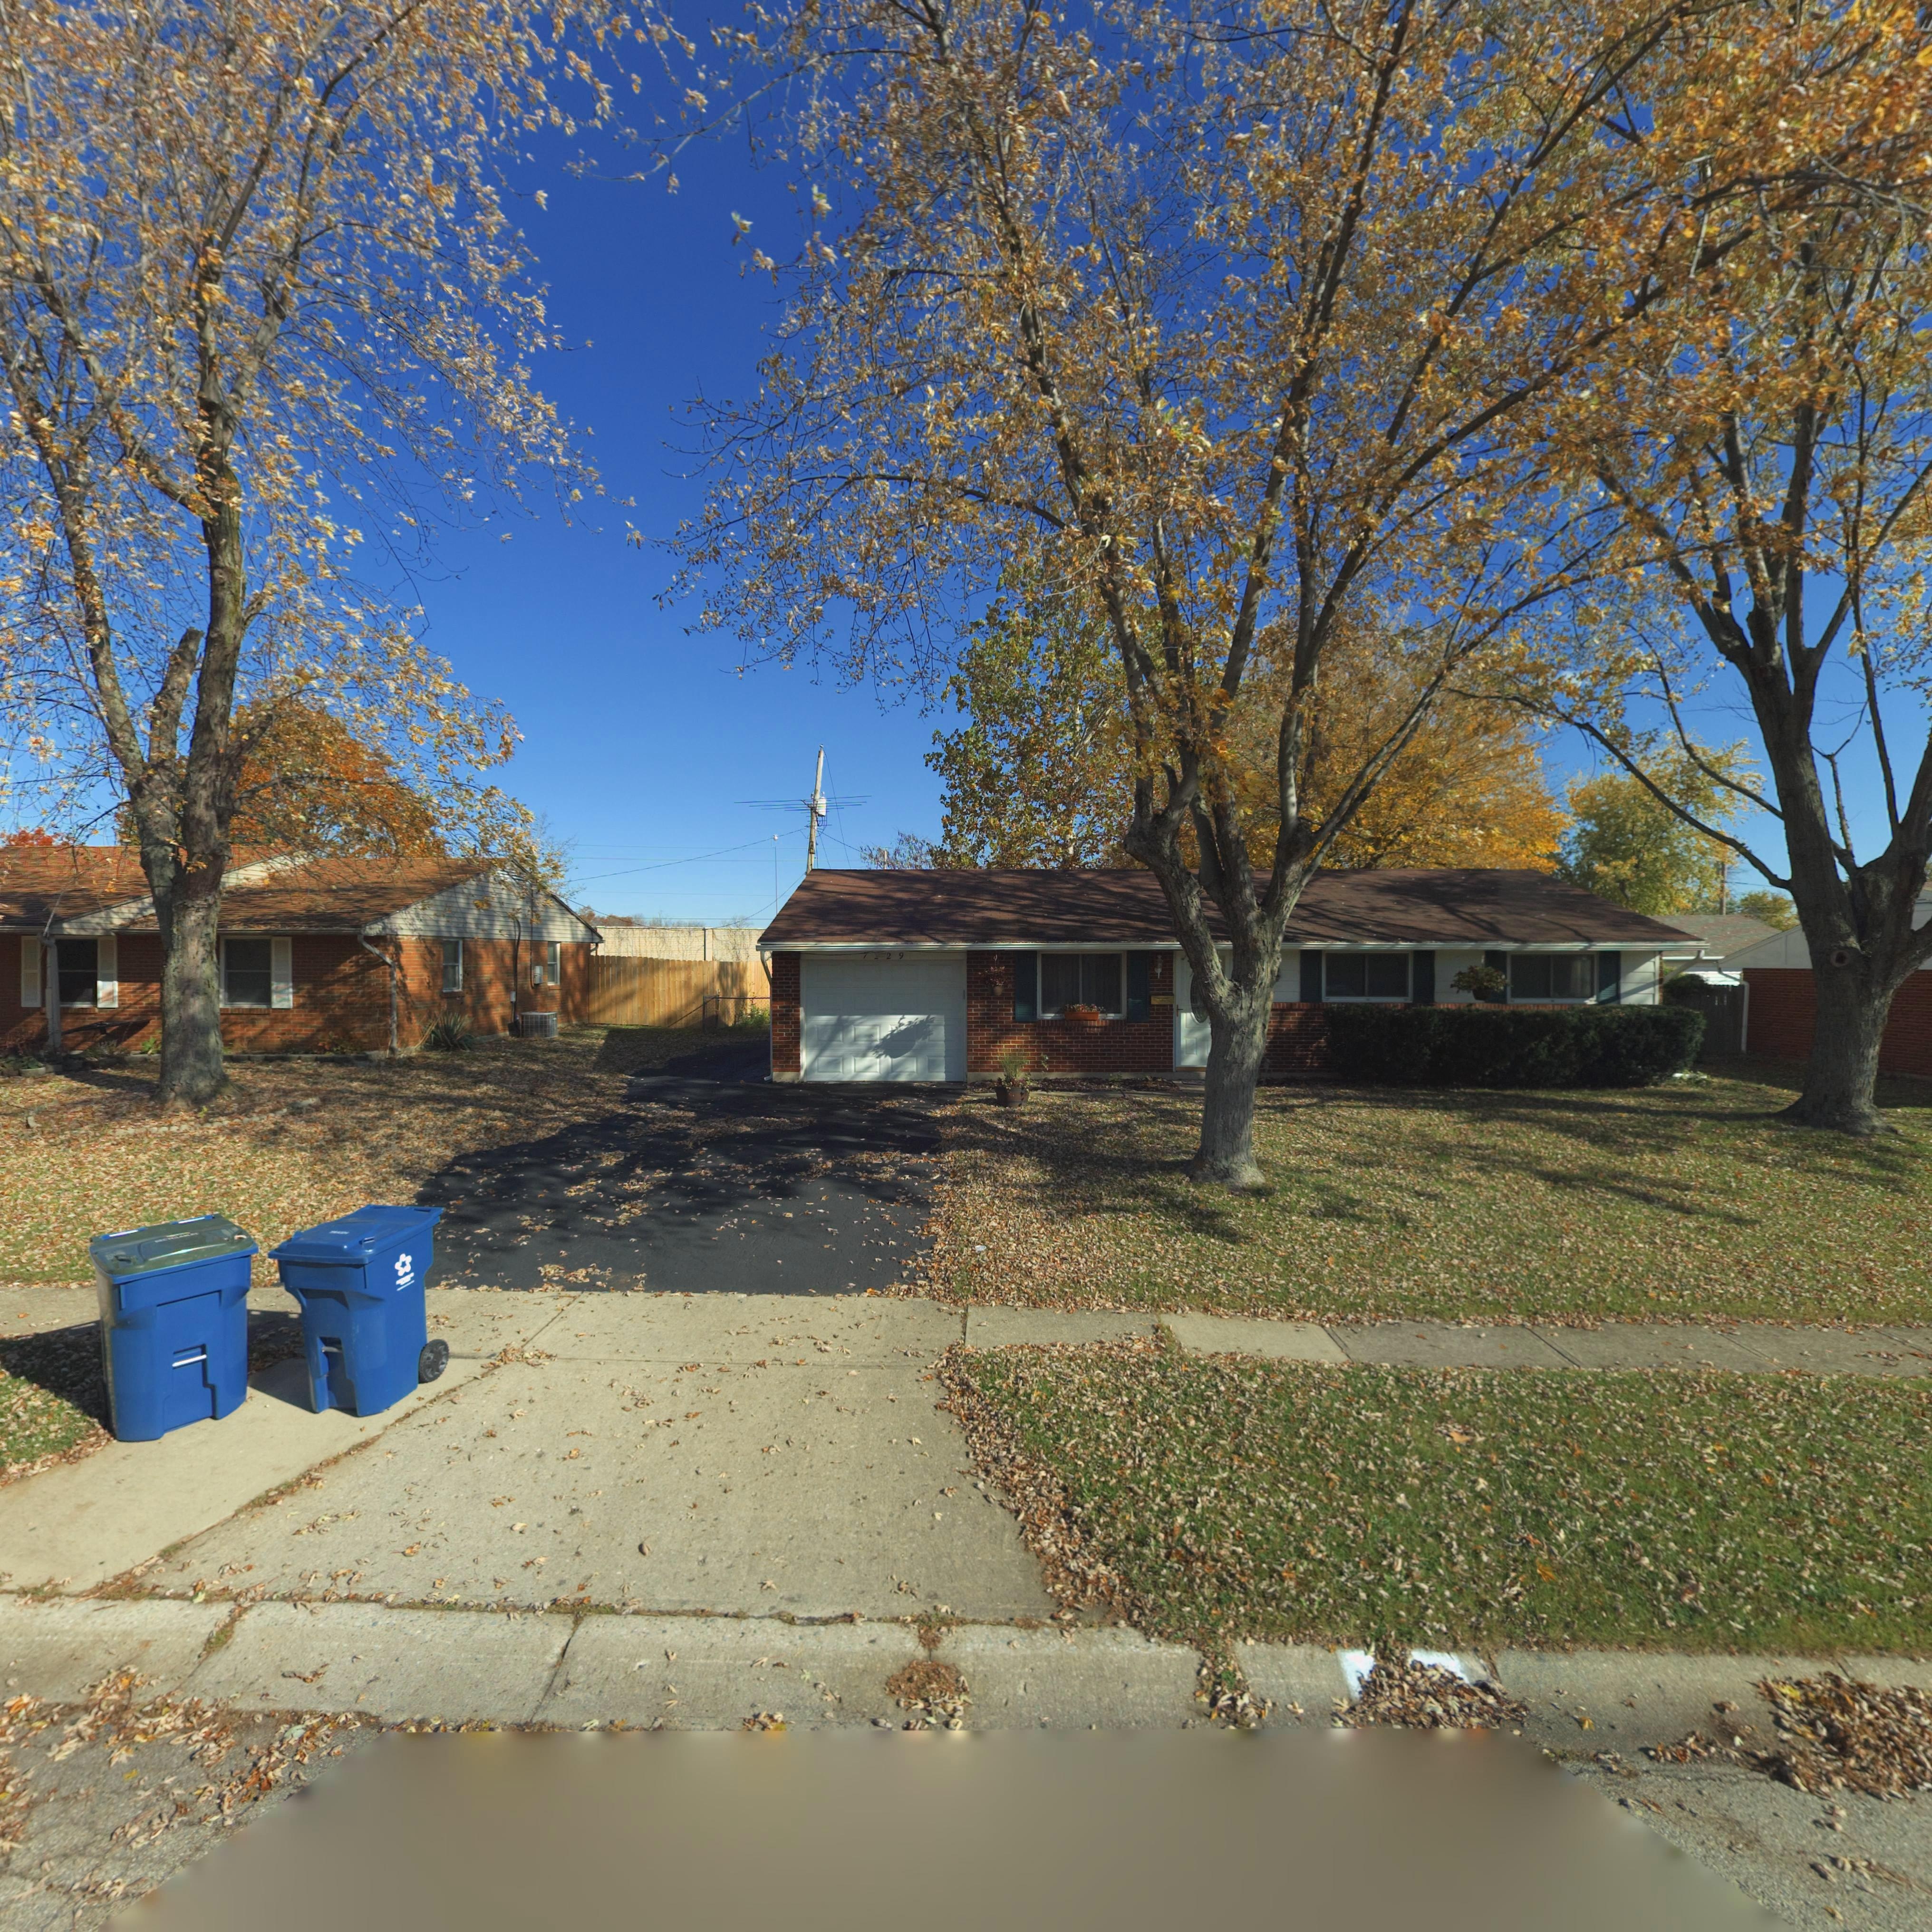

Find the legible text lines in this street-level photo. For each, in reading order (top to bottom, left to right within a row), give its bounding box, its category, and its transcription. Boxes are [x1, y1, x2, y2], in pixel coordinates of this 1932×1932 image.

[885, 951, 905, 960] StreetNumber: 29